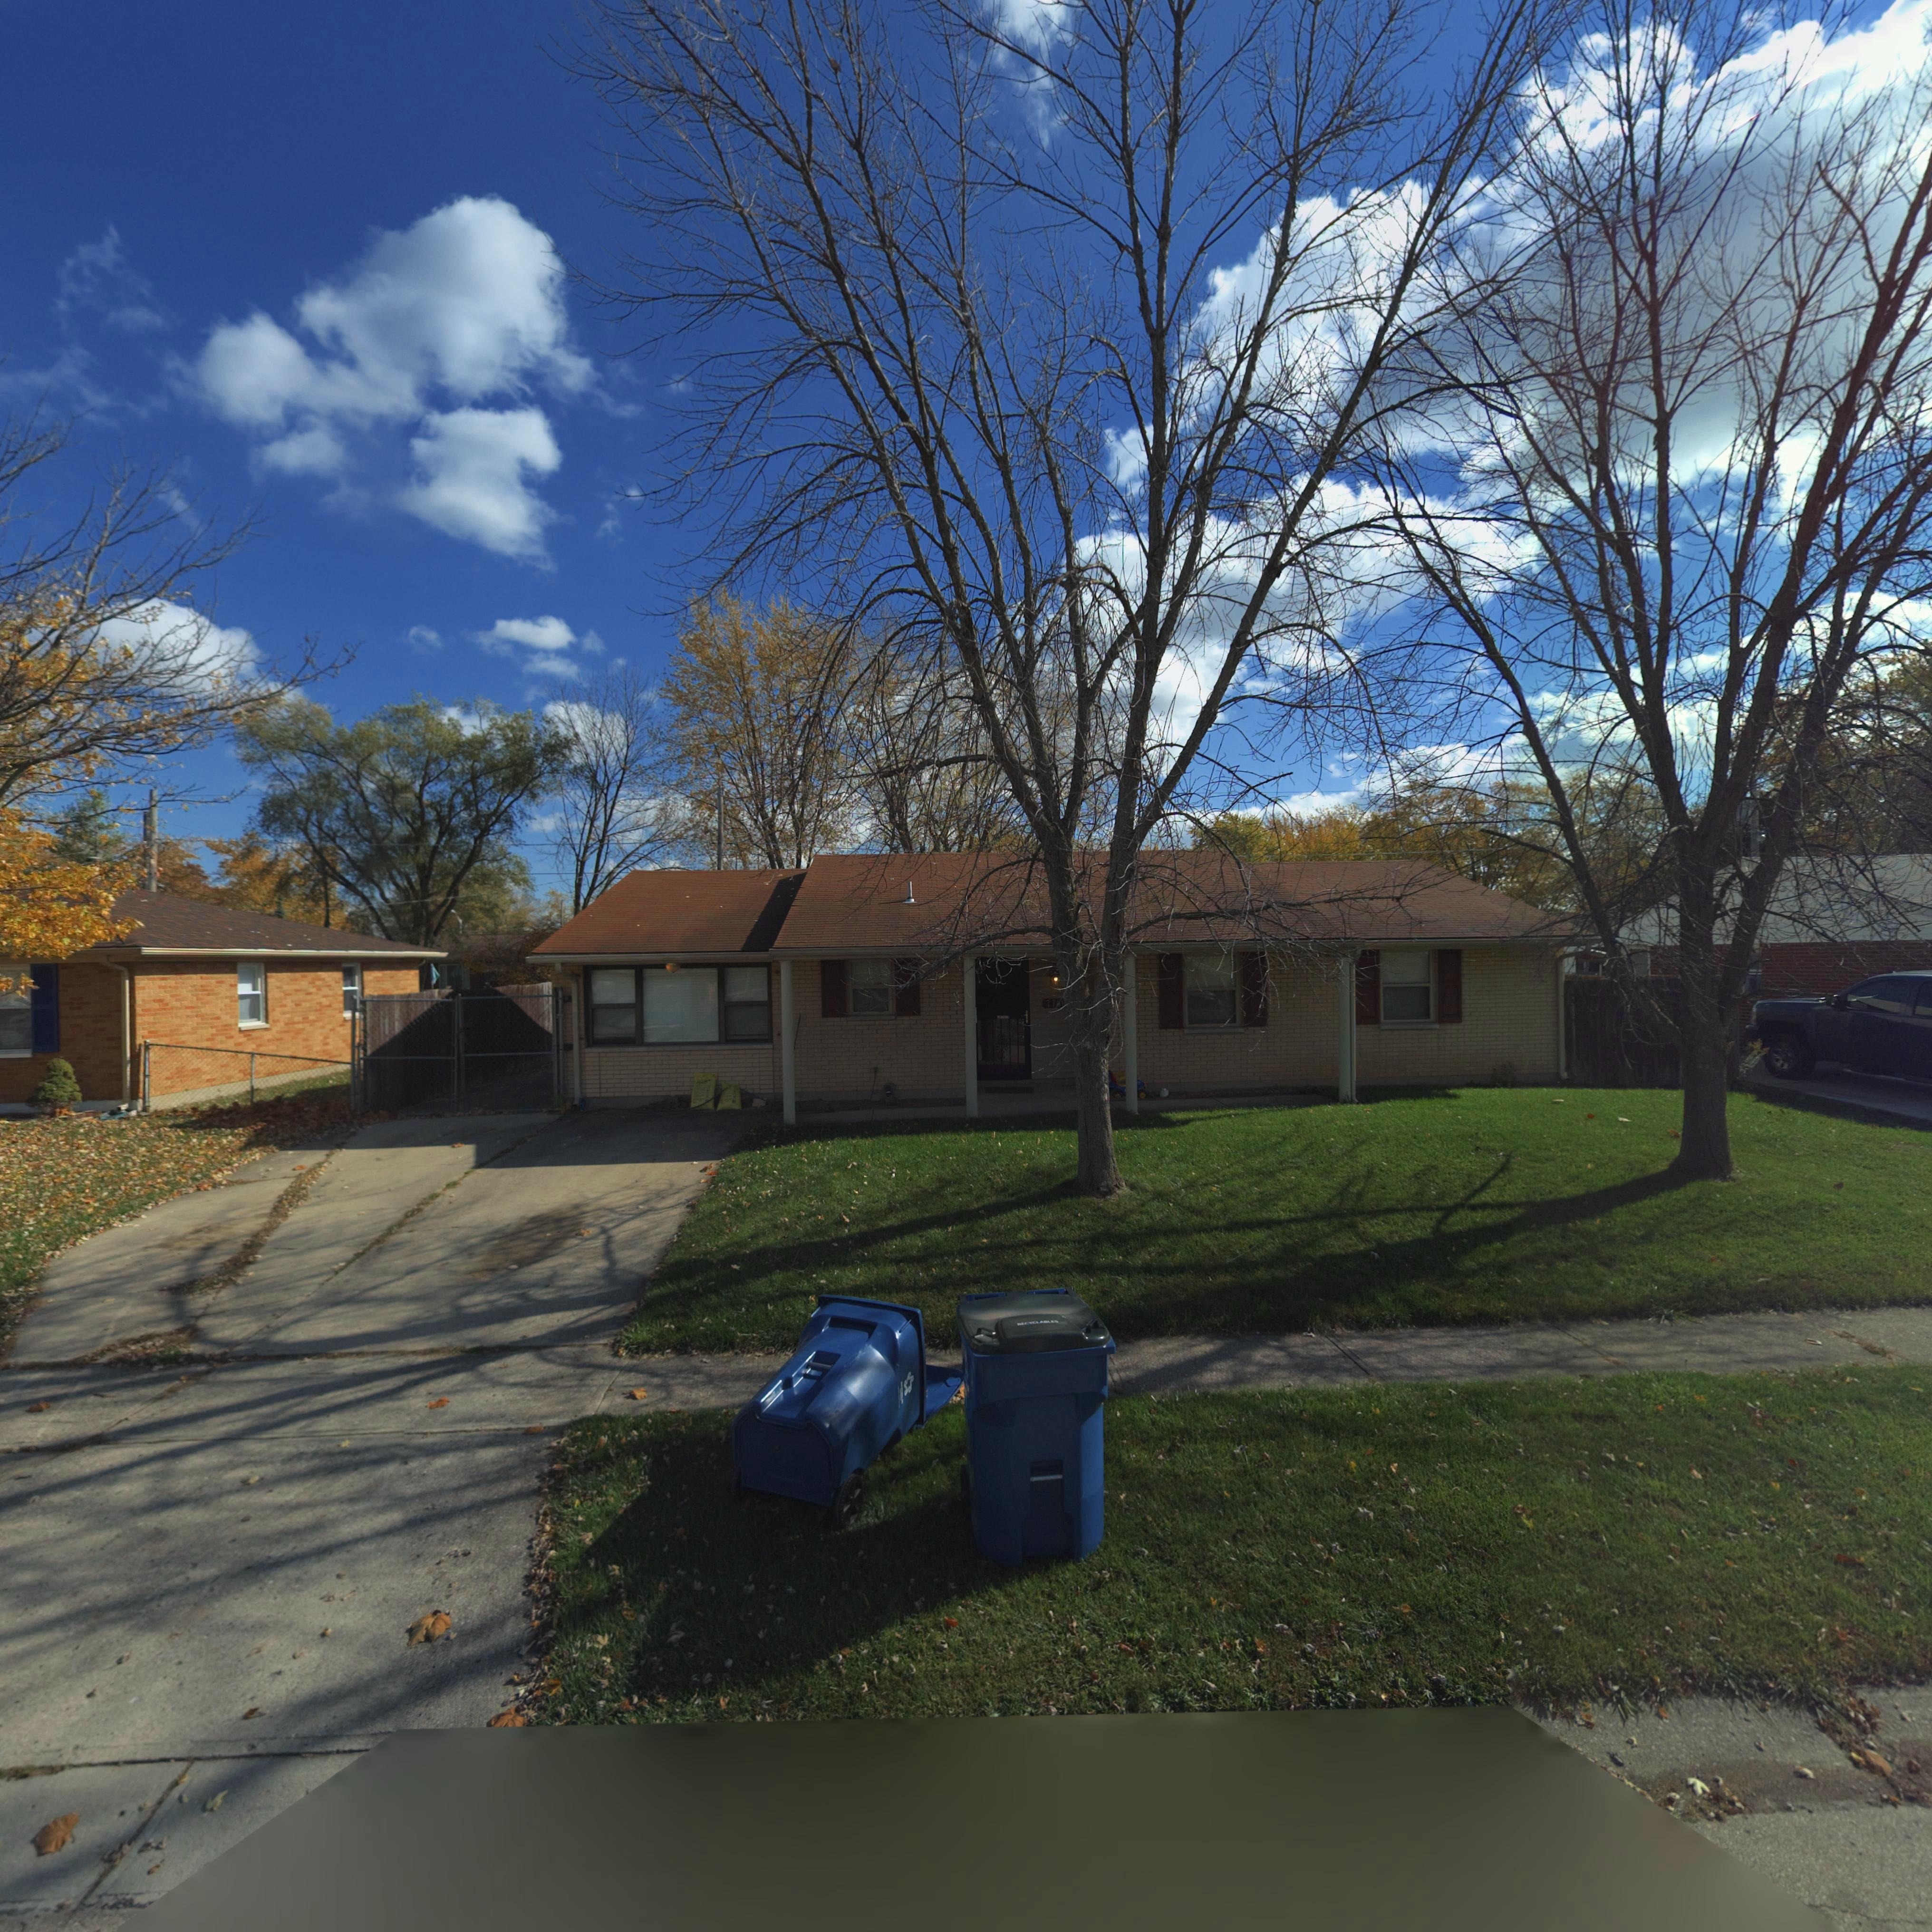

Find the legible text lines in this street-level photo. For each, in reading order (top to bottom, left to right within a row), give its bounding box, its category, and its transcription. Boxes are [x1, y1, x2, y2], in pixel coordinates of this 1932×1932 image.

[1045, 999, 1061, 1008] StreetNumber: 776